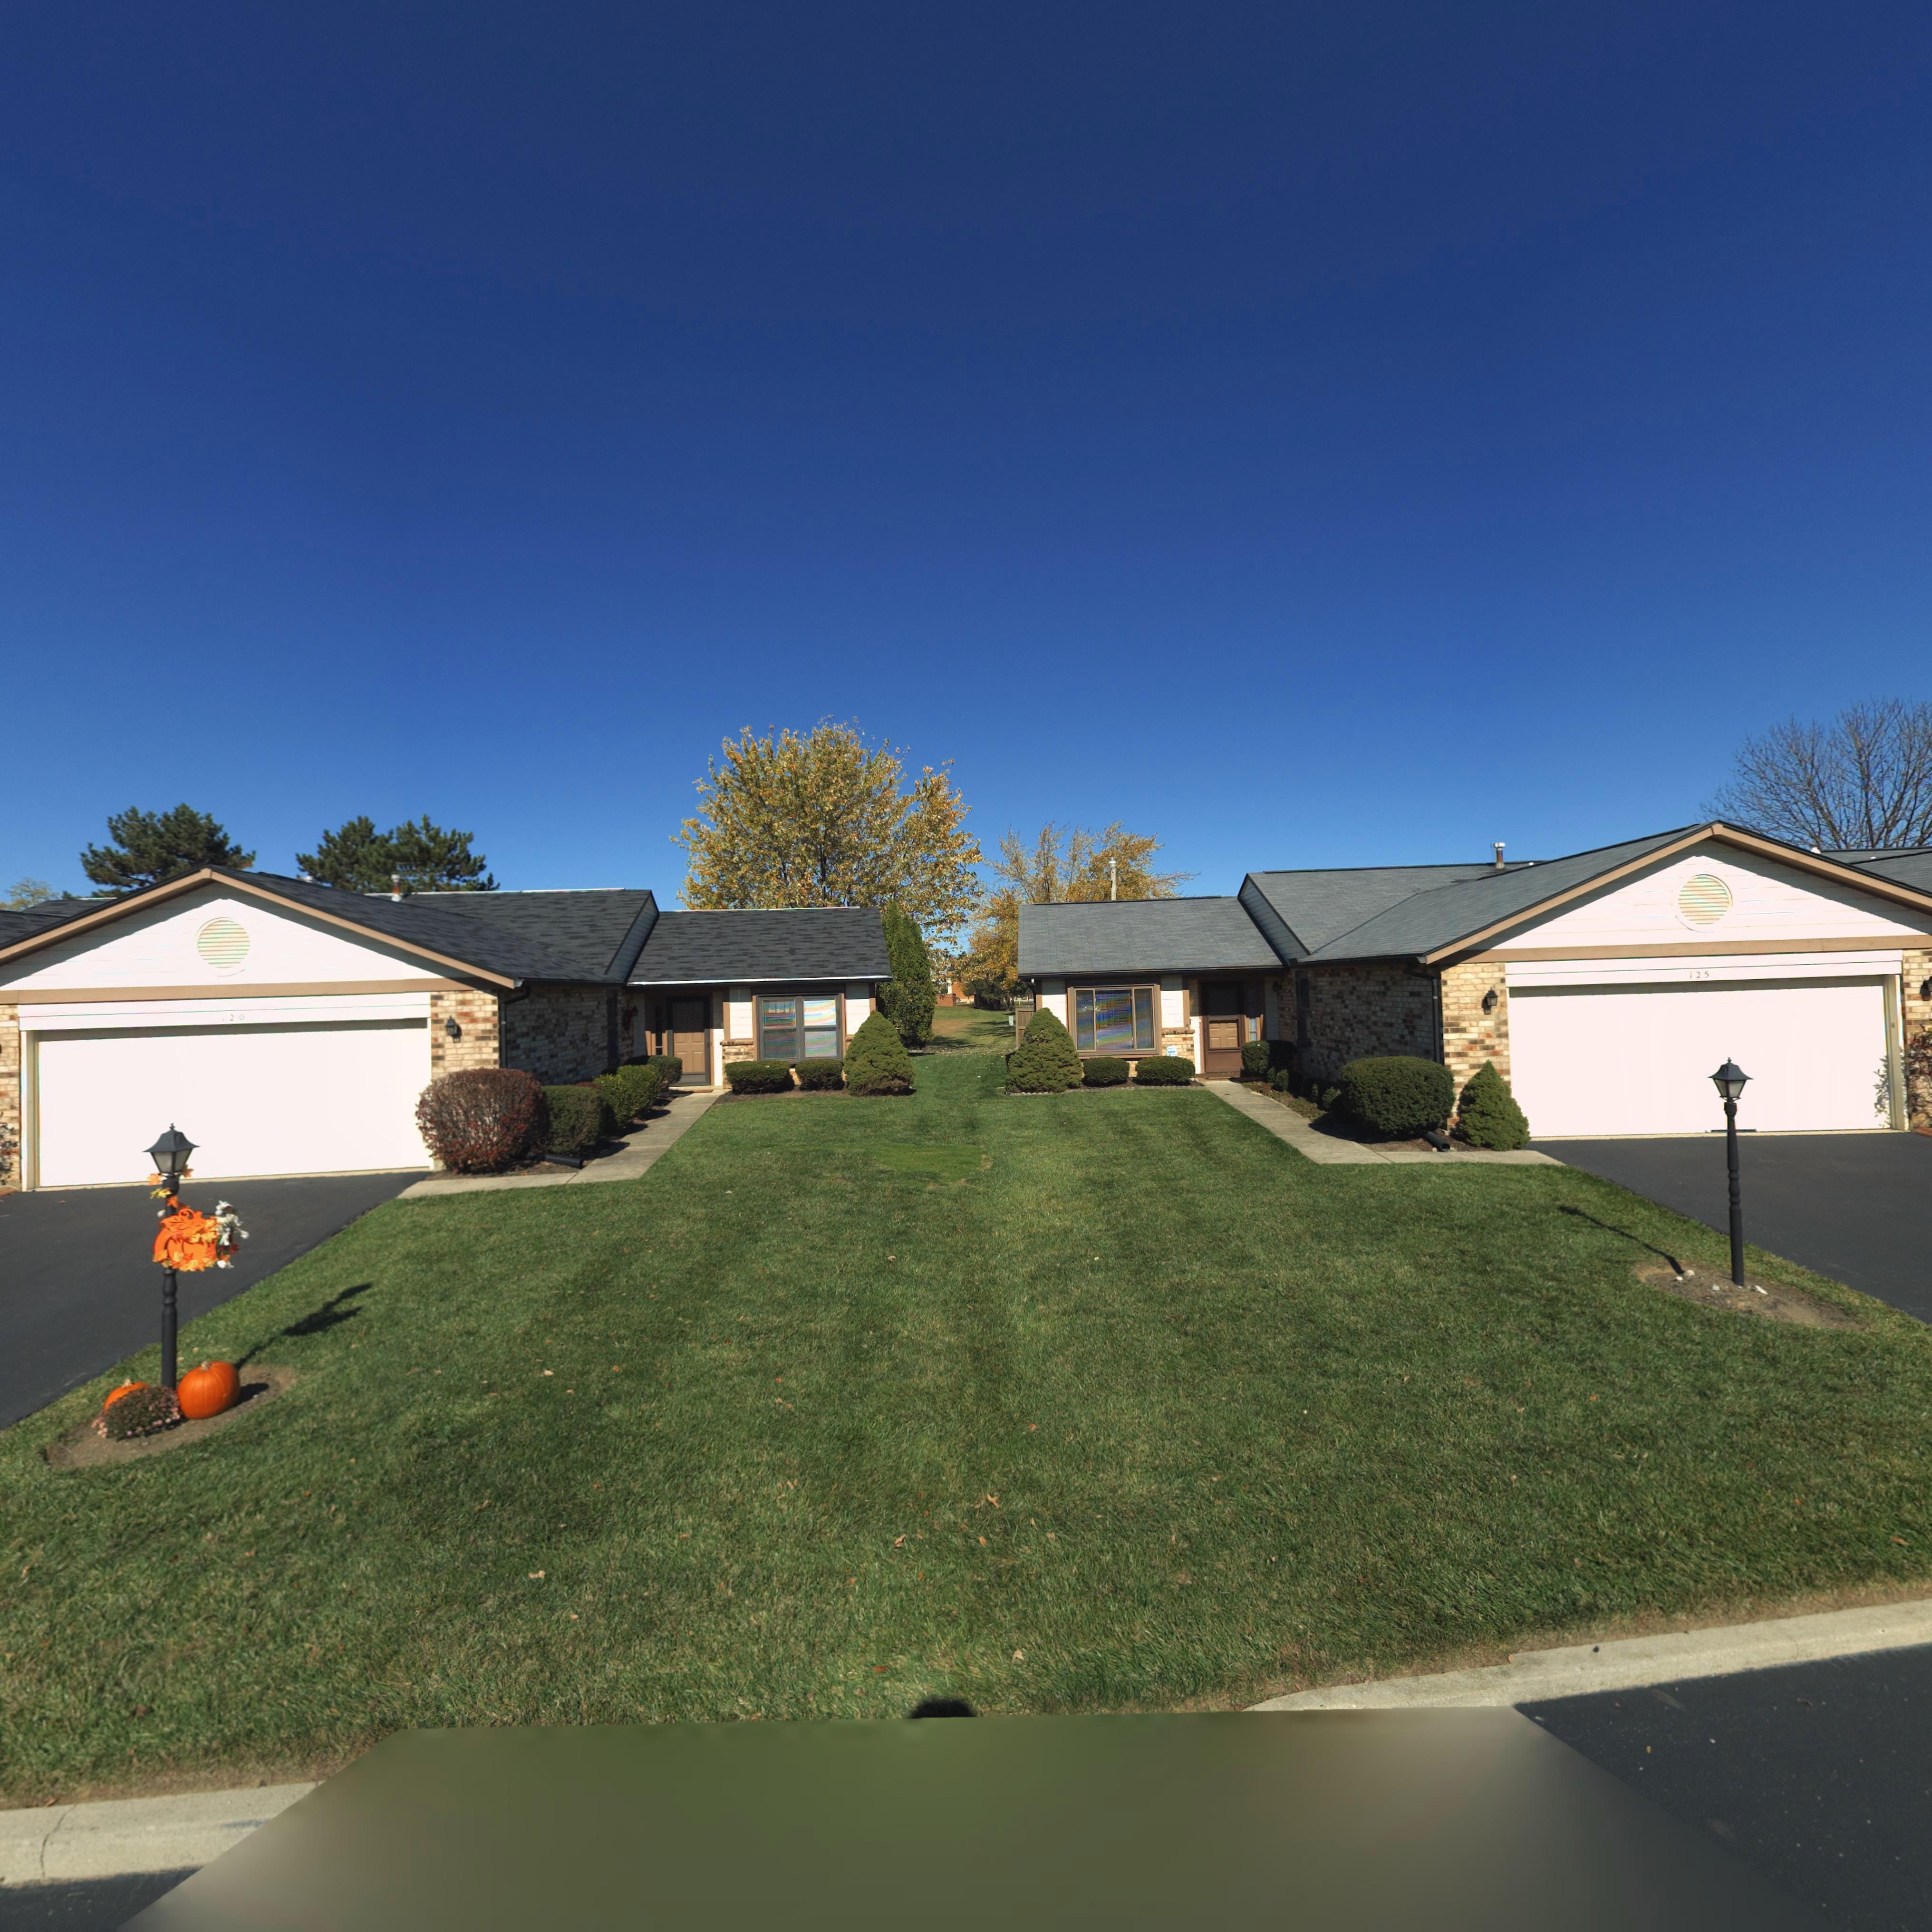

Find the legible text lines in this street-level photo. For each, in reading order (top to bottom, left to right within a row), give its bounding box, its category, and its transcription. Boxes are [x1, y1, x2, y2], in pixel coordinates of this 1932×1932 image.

[1687, 970, 1710, 979] StreetNumber: 125
[221, 1012, 246, 1022] StreetNumber: *20